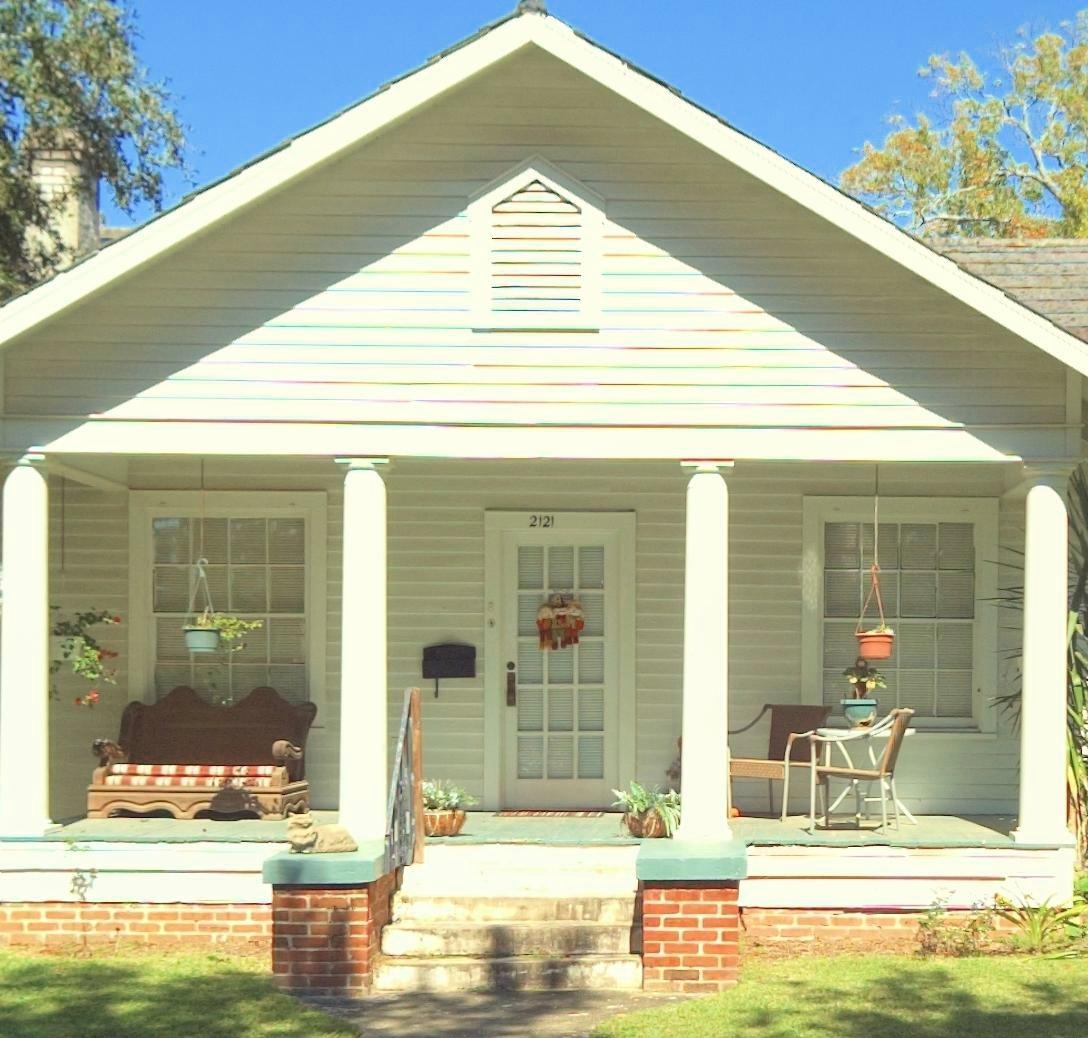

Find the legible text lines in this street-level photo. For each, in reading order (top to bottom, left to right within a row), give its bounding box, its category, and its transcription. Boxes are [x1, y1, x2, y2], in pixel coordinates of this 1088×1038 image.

[527, 513, 556, 530] StreetNumber: 2121